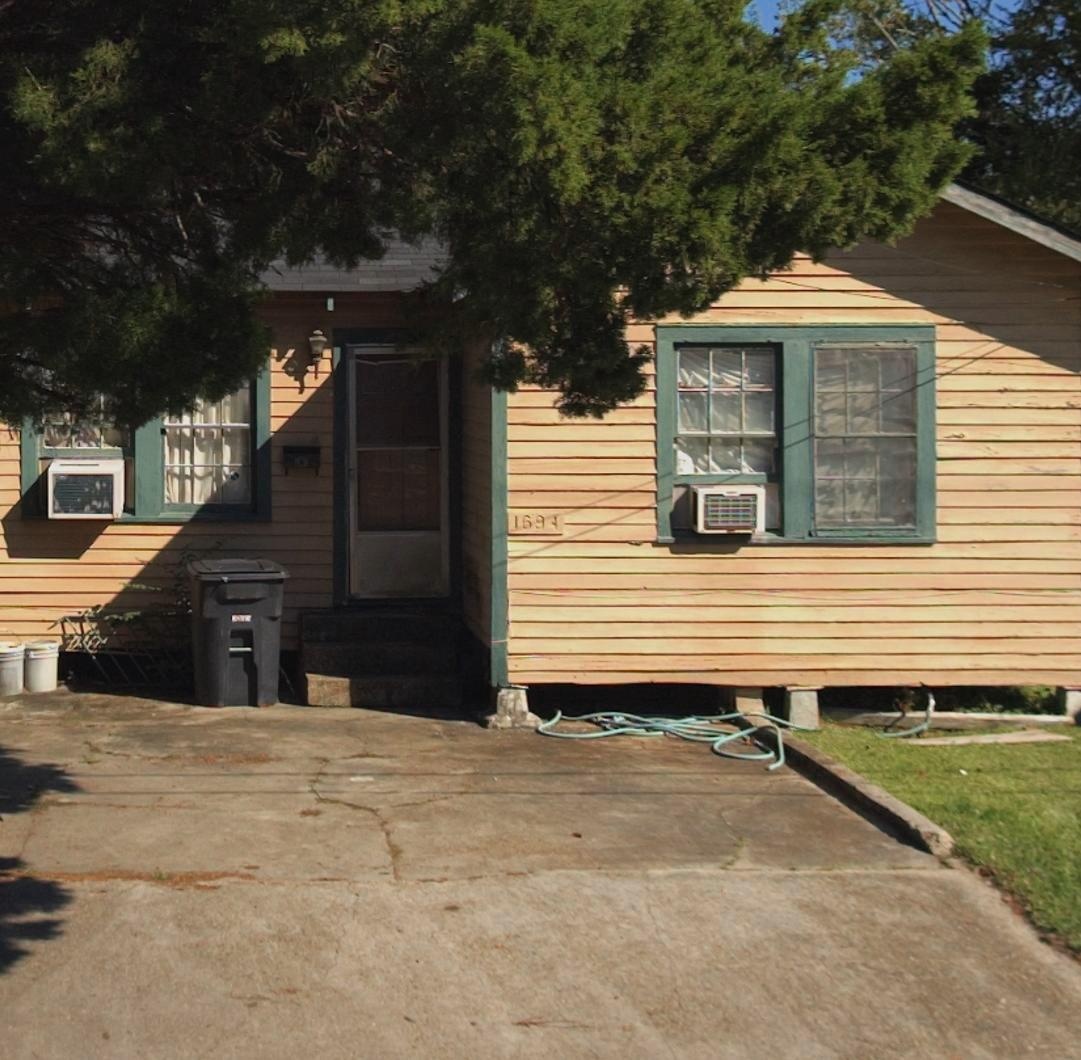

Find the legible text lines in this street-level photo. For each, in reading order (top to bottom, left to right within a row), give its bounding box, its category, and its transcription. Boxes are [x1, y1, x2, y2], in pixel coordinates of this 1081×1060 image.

[513, 513, 559, 531] StreetNumber: 1694